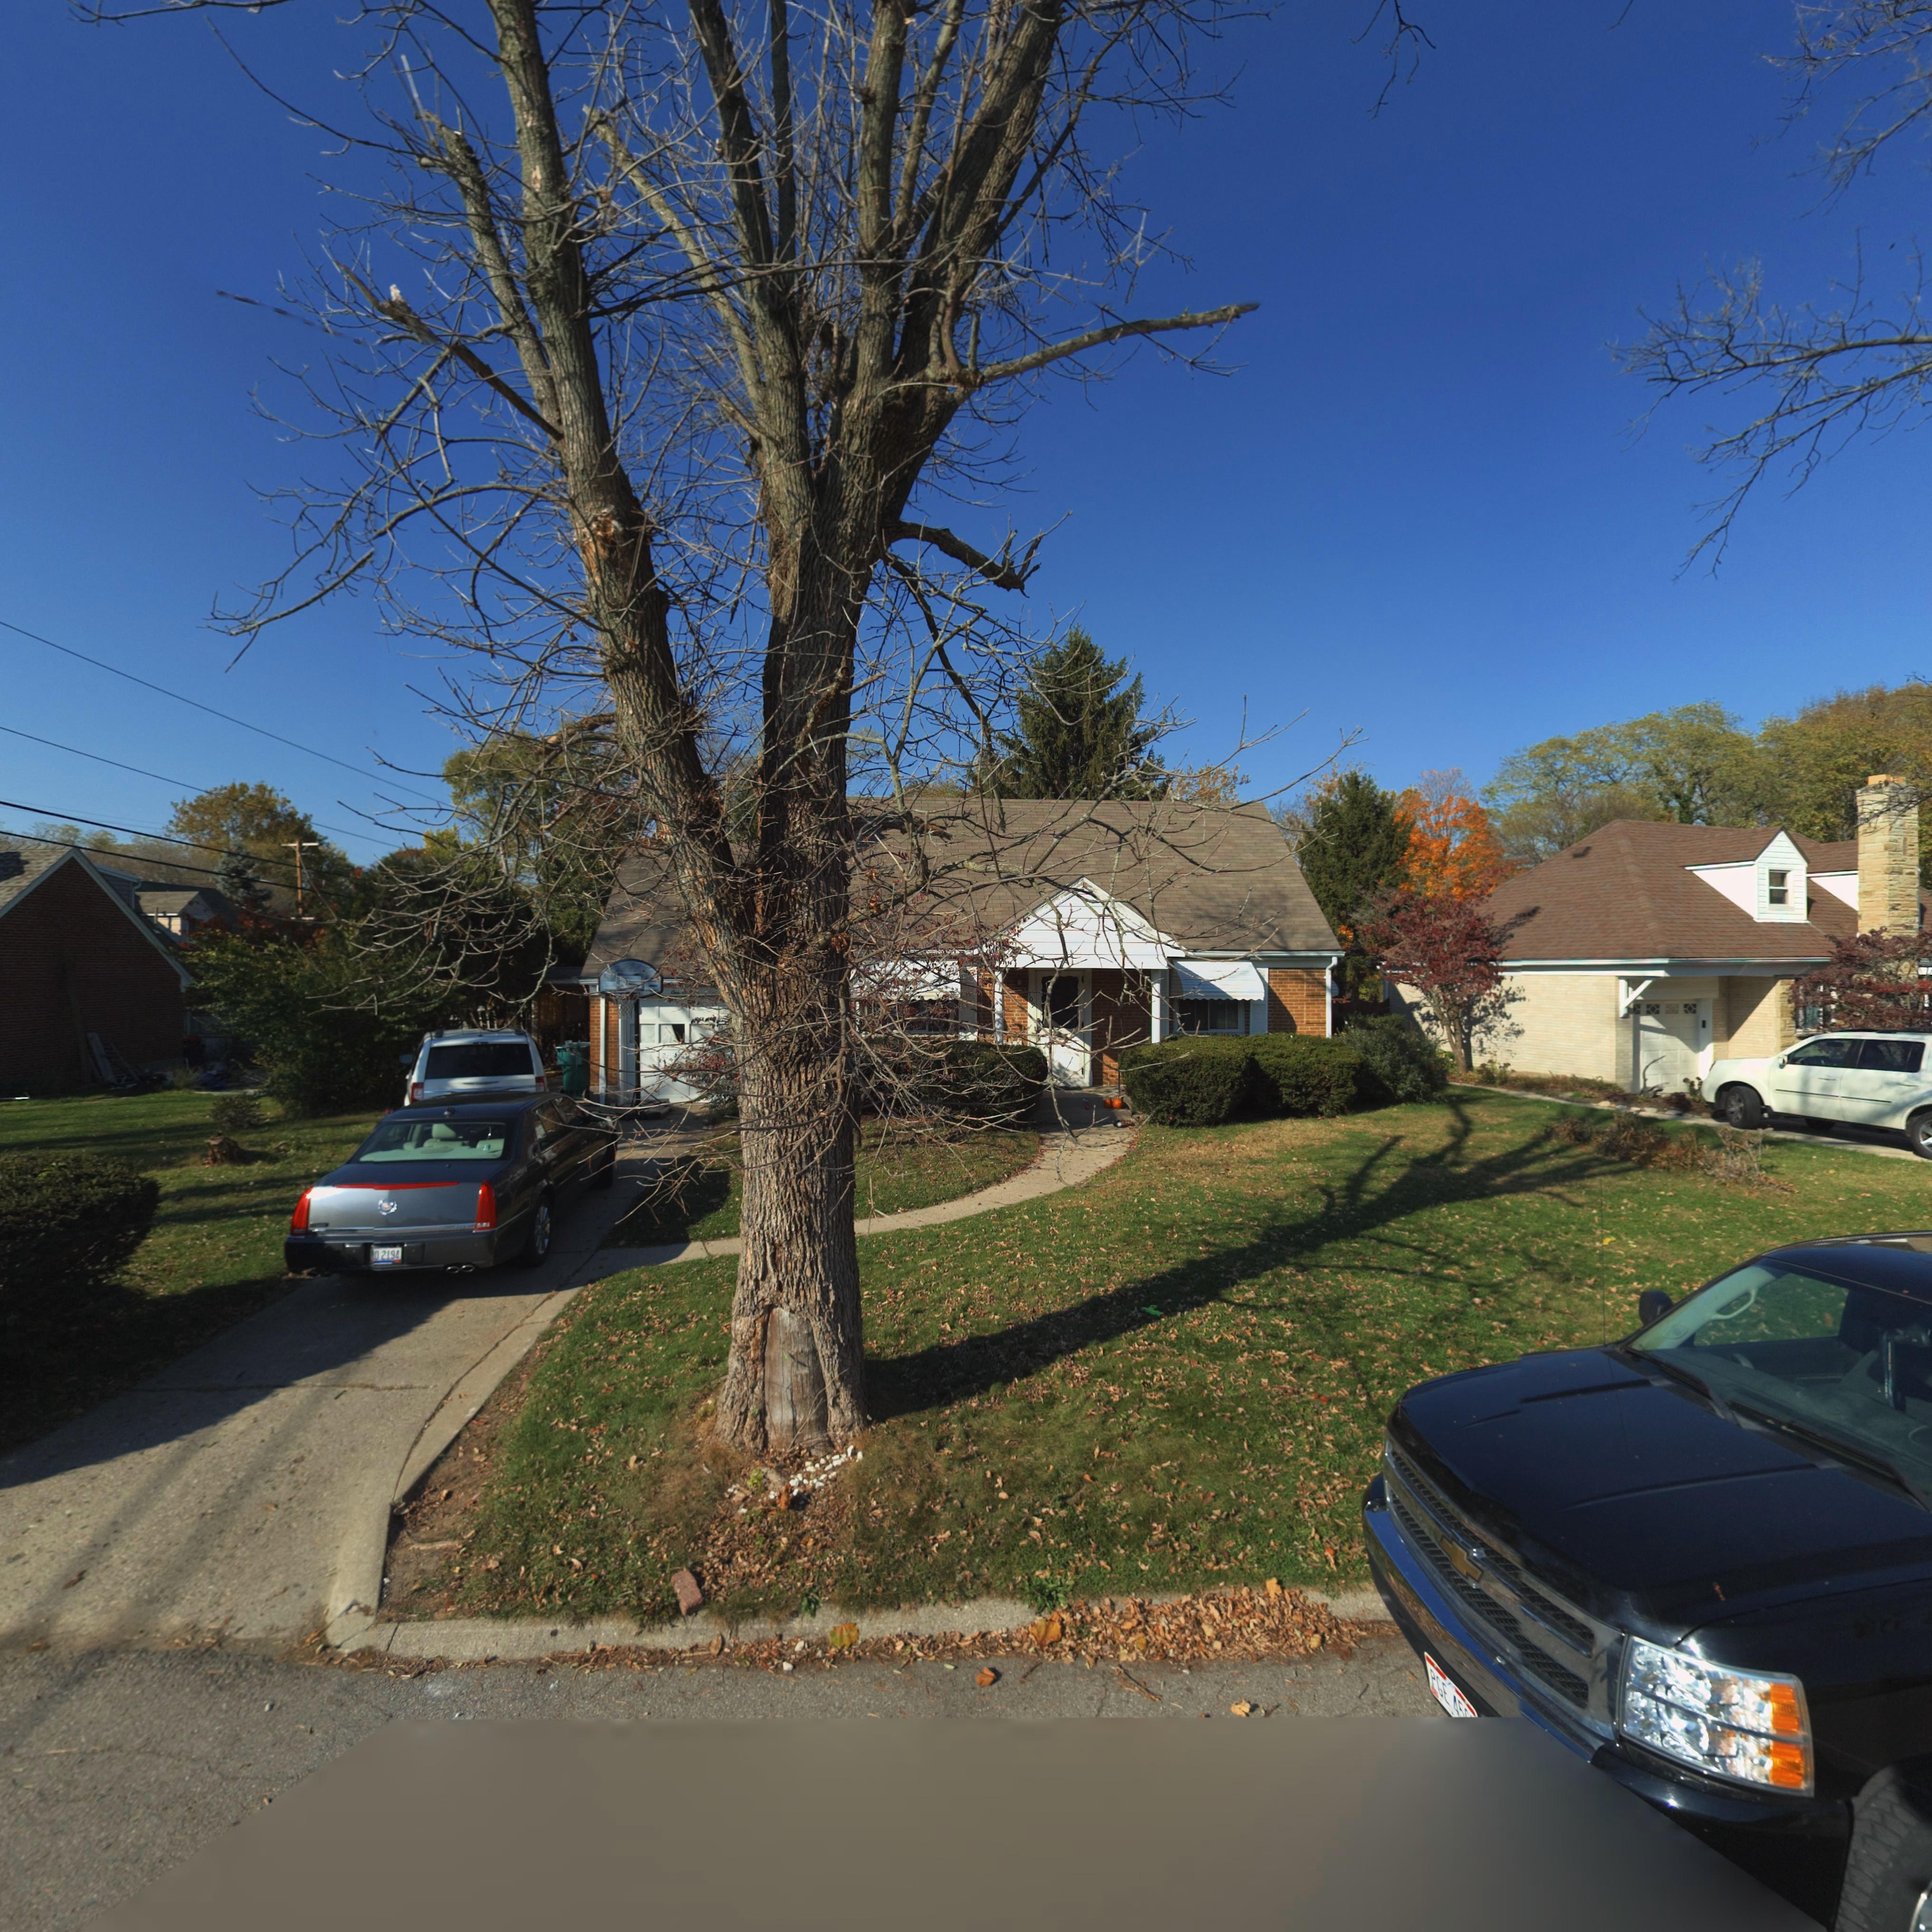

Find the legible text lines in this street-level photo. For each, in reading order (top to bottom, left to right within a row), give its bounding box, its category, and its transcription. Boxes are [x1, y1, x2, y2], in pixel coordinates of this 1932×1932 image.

[1027, 990, 1036, 1009] StreetNumber: 109